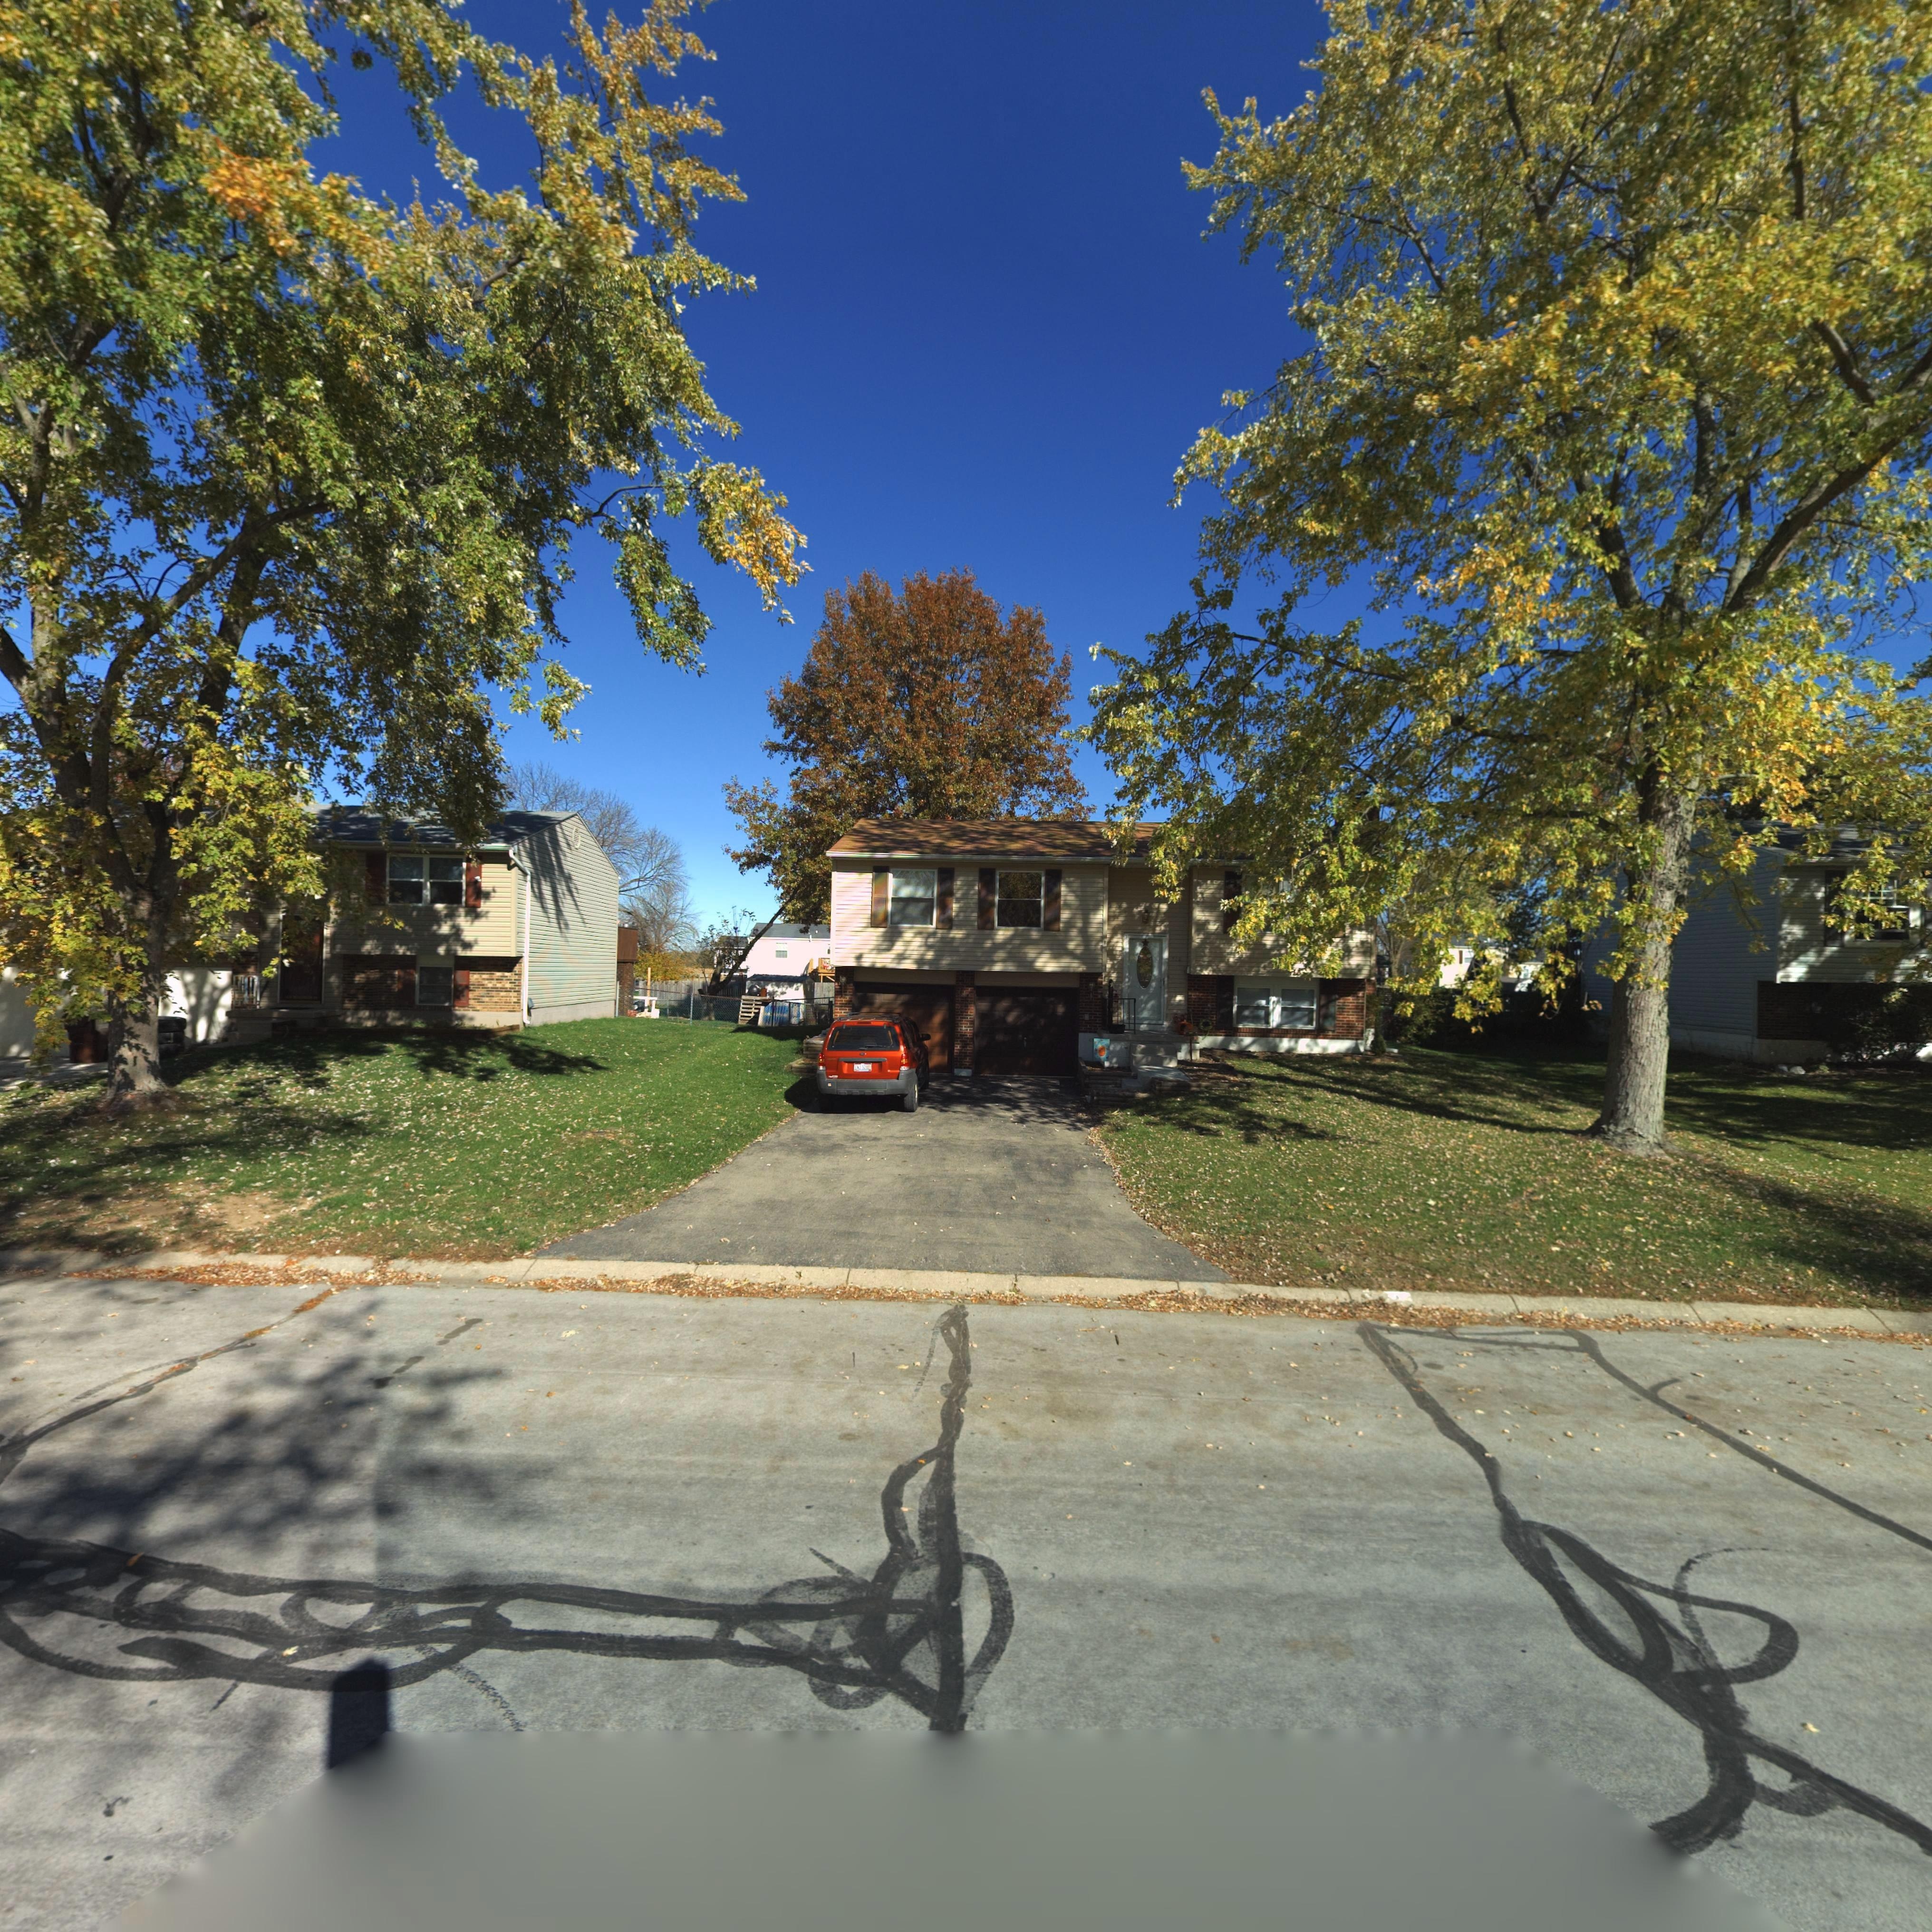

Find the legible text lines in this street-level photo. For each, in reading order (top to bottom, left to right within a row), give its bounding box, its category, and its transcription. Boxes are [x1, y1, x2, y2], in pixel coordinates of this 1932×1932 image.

[1170, 955, 1182, 962] StreetNumber: 7**